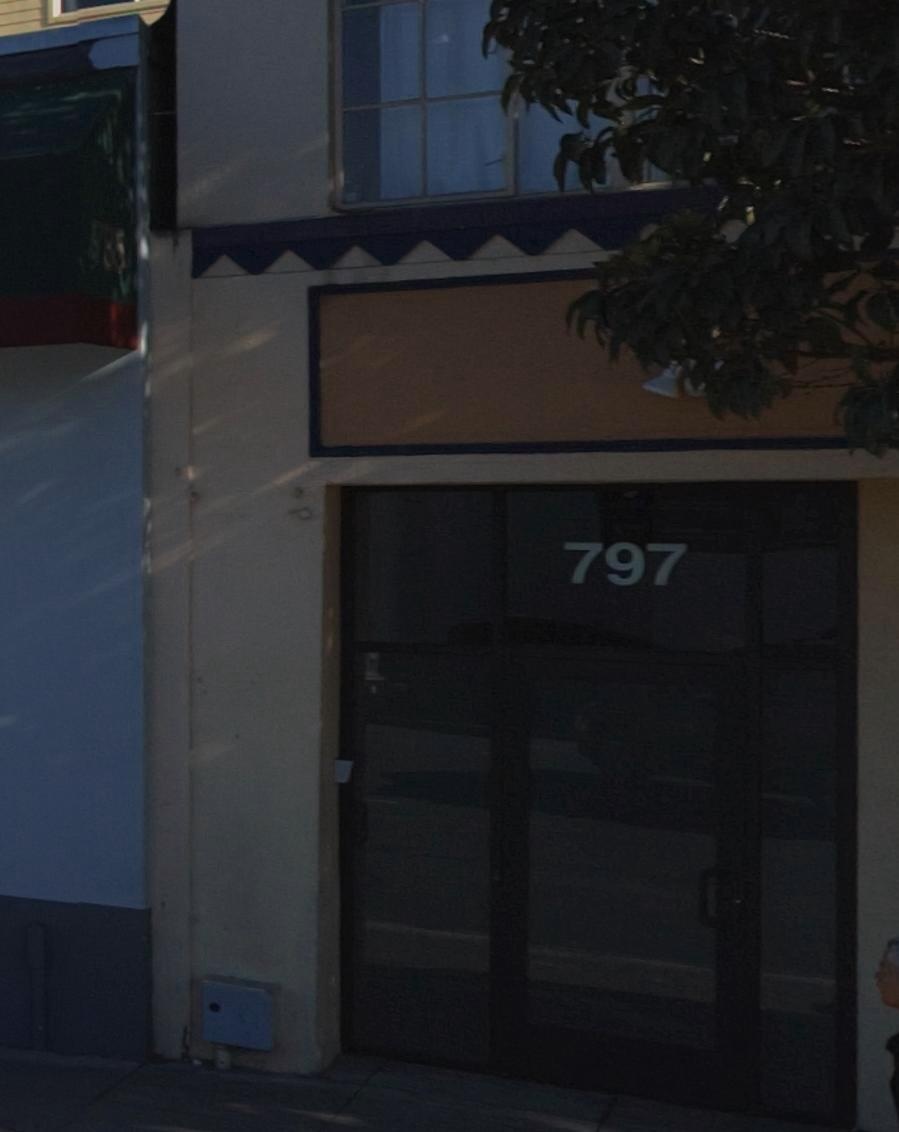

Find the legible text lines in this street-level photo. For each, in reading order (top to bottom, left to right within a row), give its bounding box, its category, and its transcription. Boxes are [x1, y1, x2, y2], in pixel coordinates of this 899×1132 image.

[562, 539, 690, 588] StreetNumber: 797